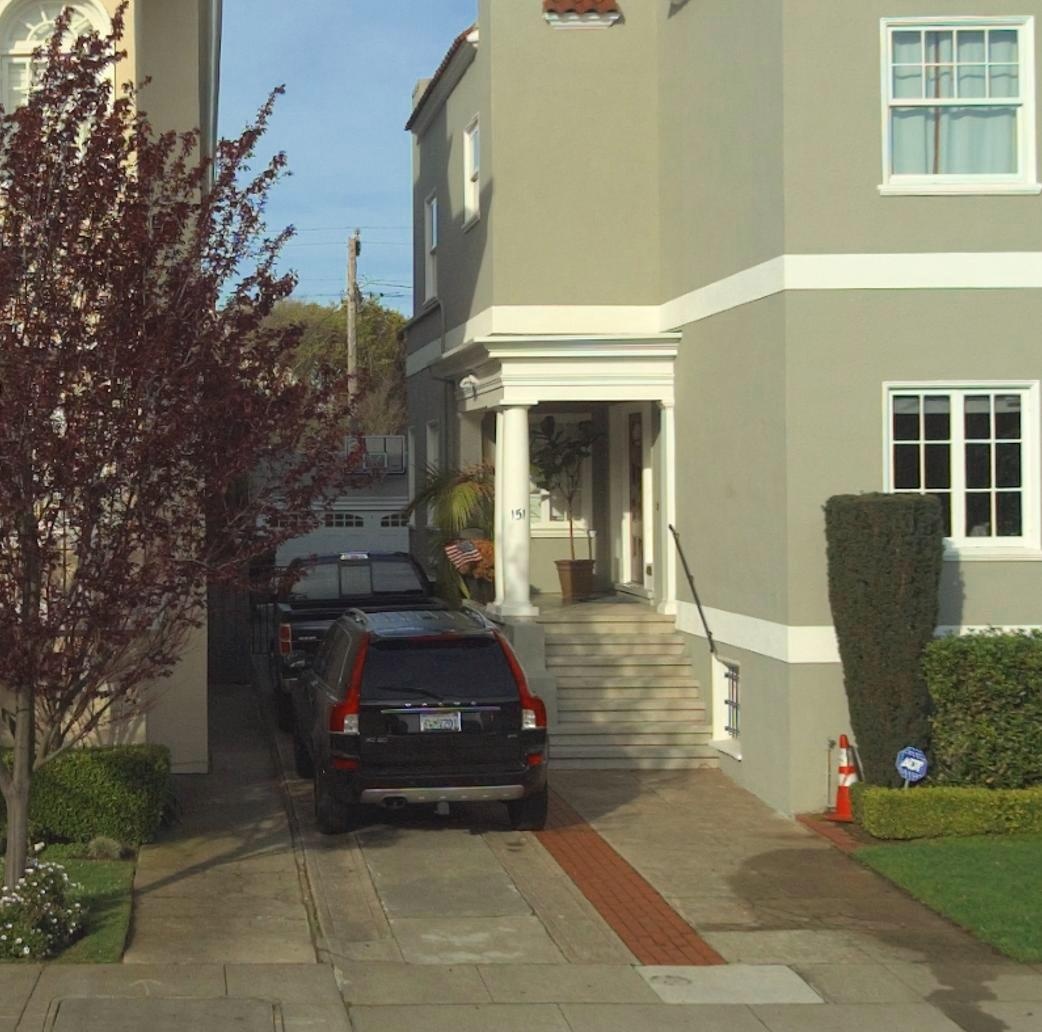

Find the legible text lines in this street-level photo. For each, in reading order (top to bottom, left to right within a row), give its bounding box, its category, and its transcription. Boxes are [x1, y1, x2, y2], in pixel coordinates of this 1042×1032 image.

[509, 506, 527, 522] StreetNumber: 151
[897, 751, 929, 778] None: ADT